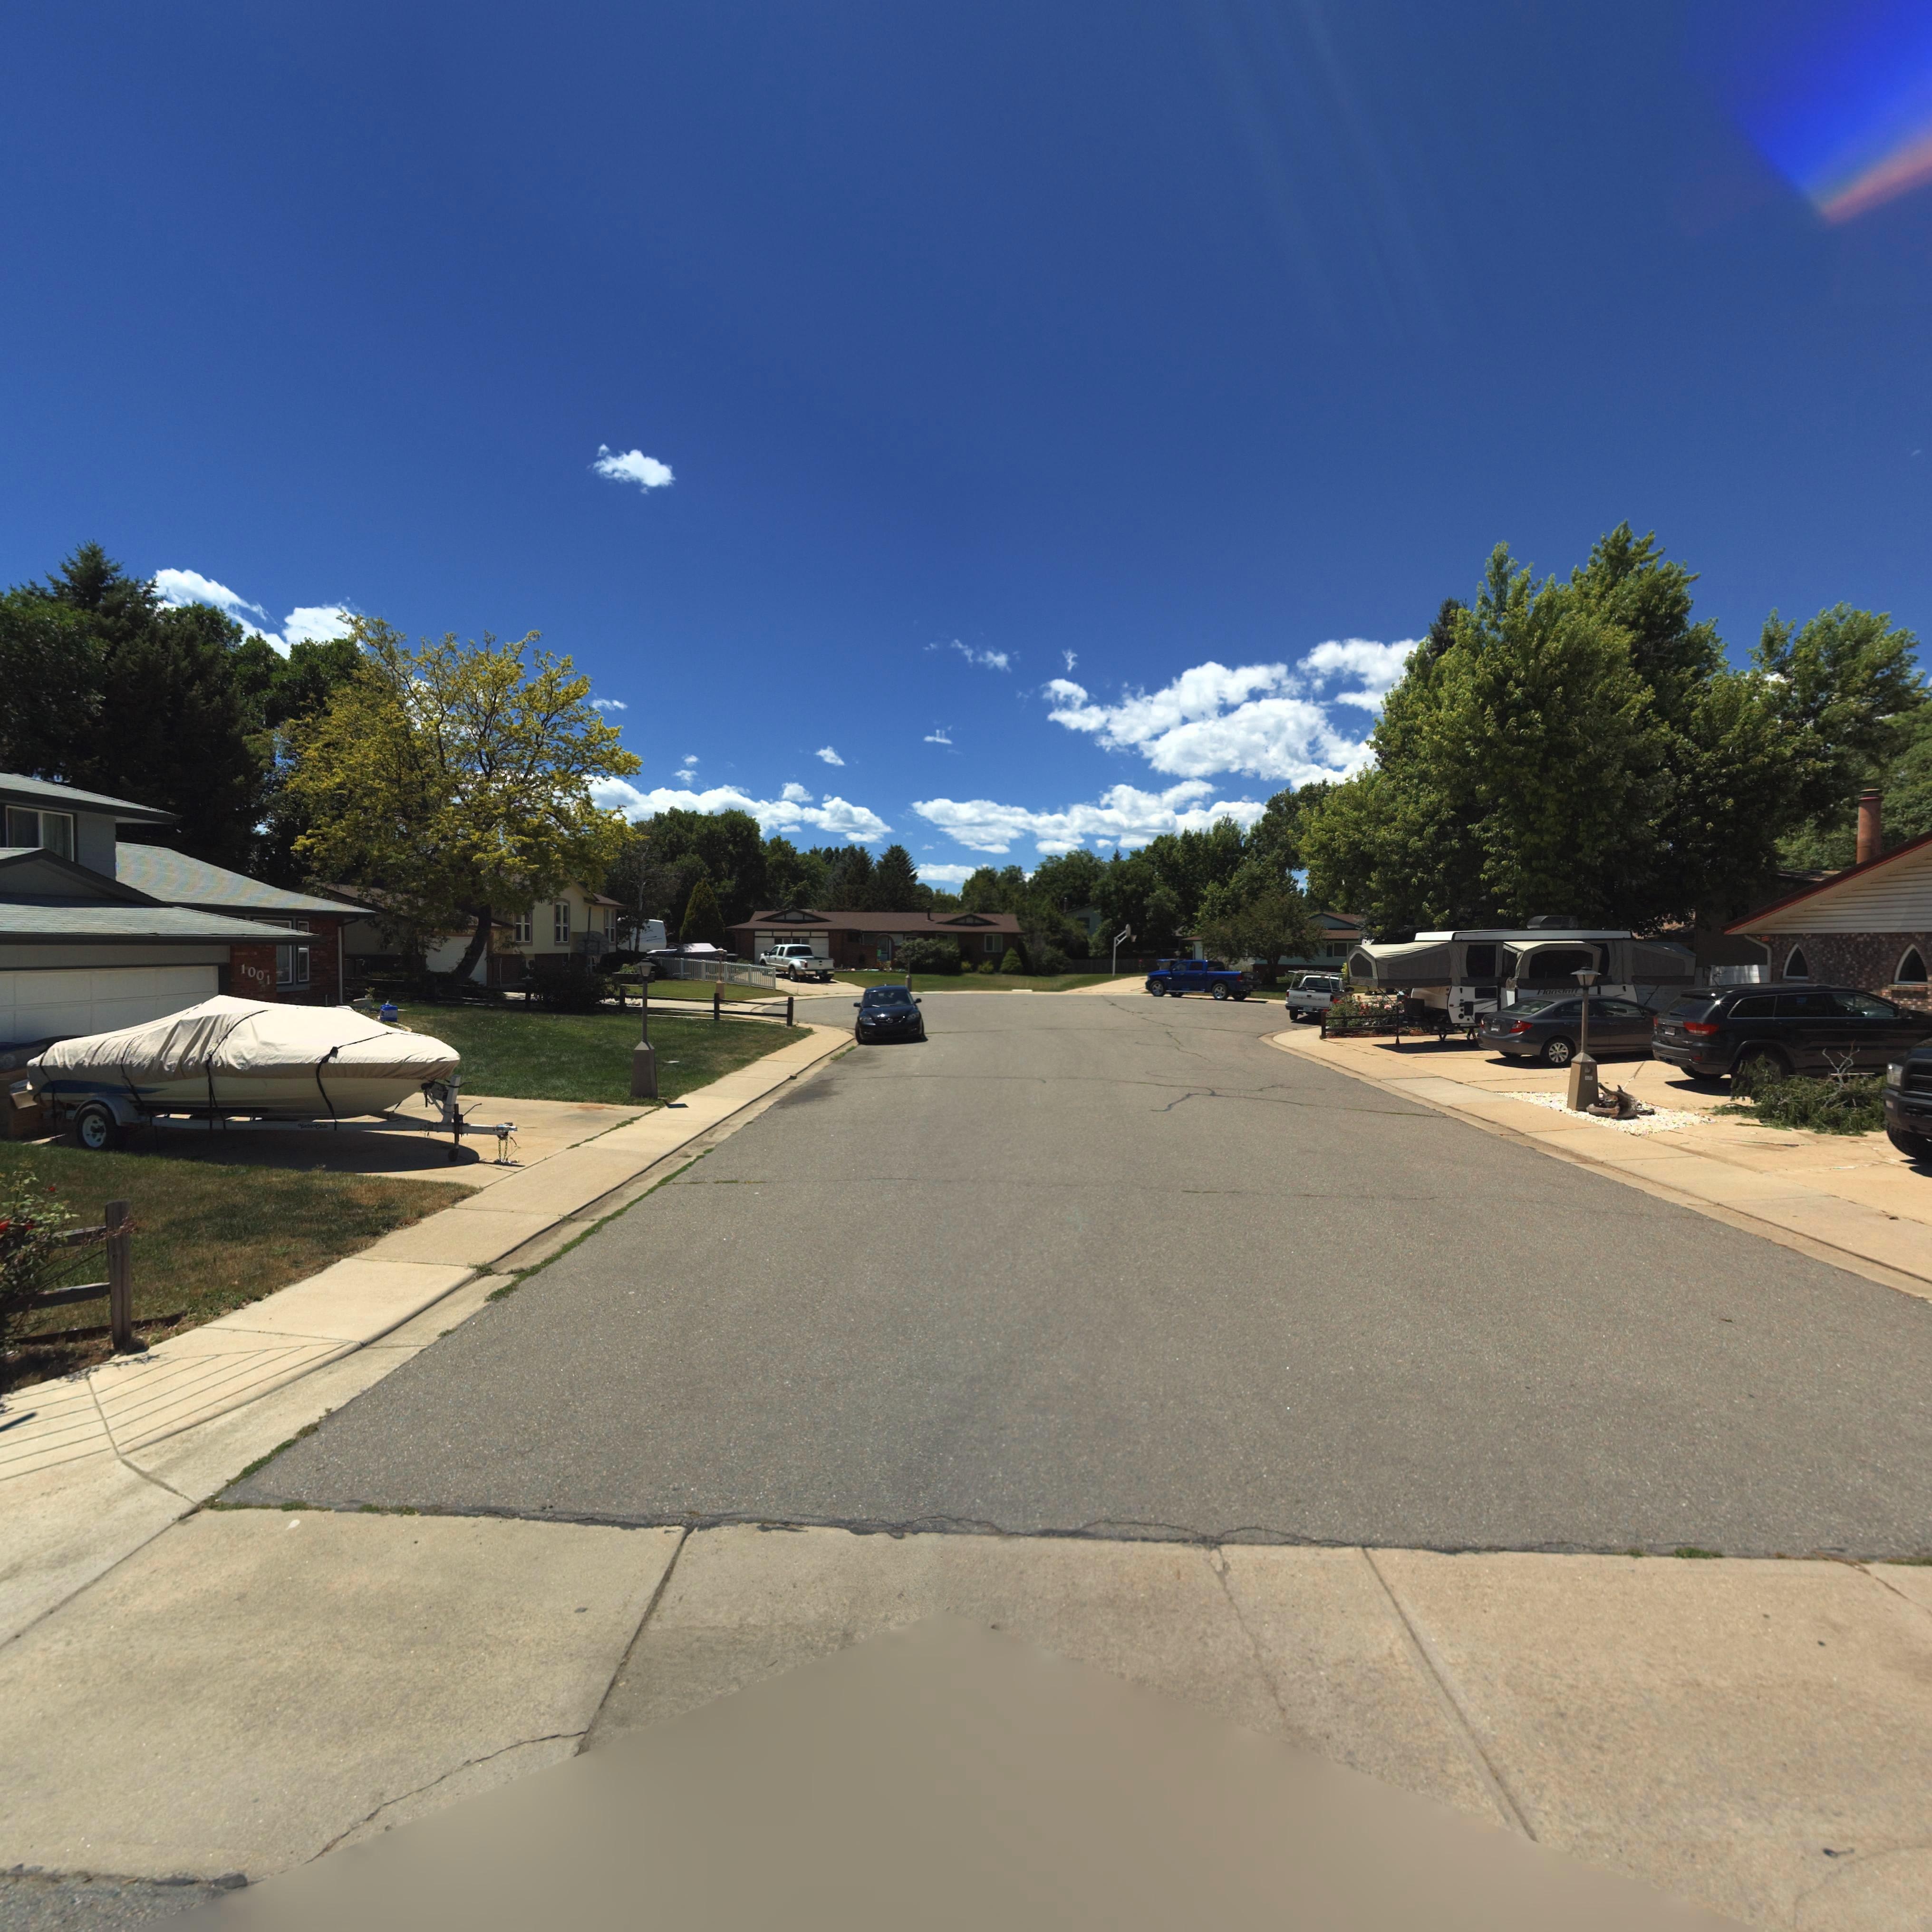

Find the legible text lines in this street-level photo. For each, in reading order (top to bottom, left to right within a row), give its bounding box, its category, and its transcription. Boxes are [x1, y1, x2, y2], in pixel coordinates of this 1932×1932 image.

[241, 963, 270, 985] StreetNumber: 1001